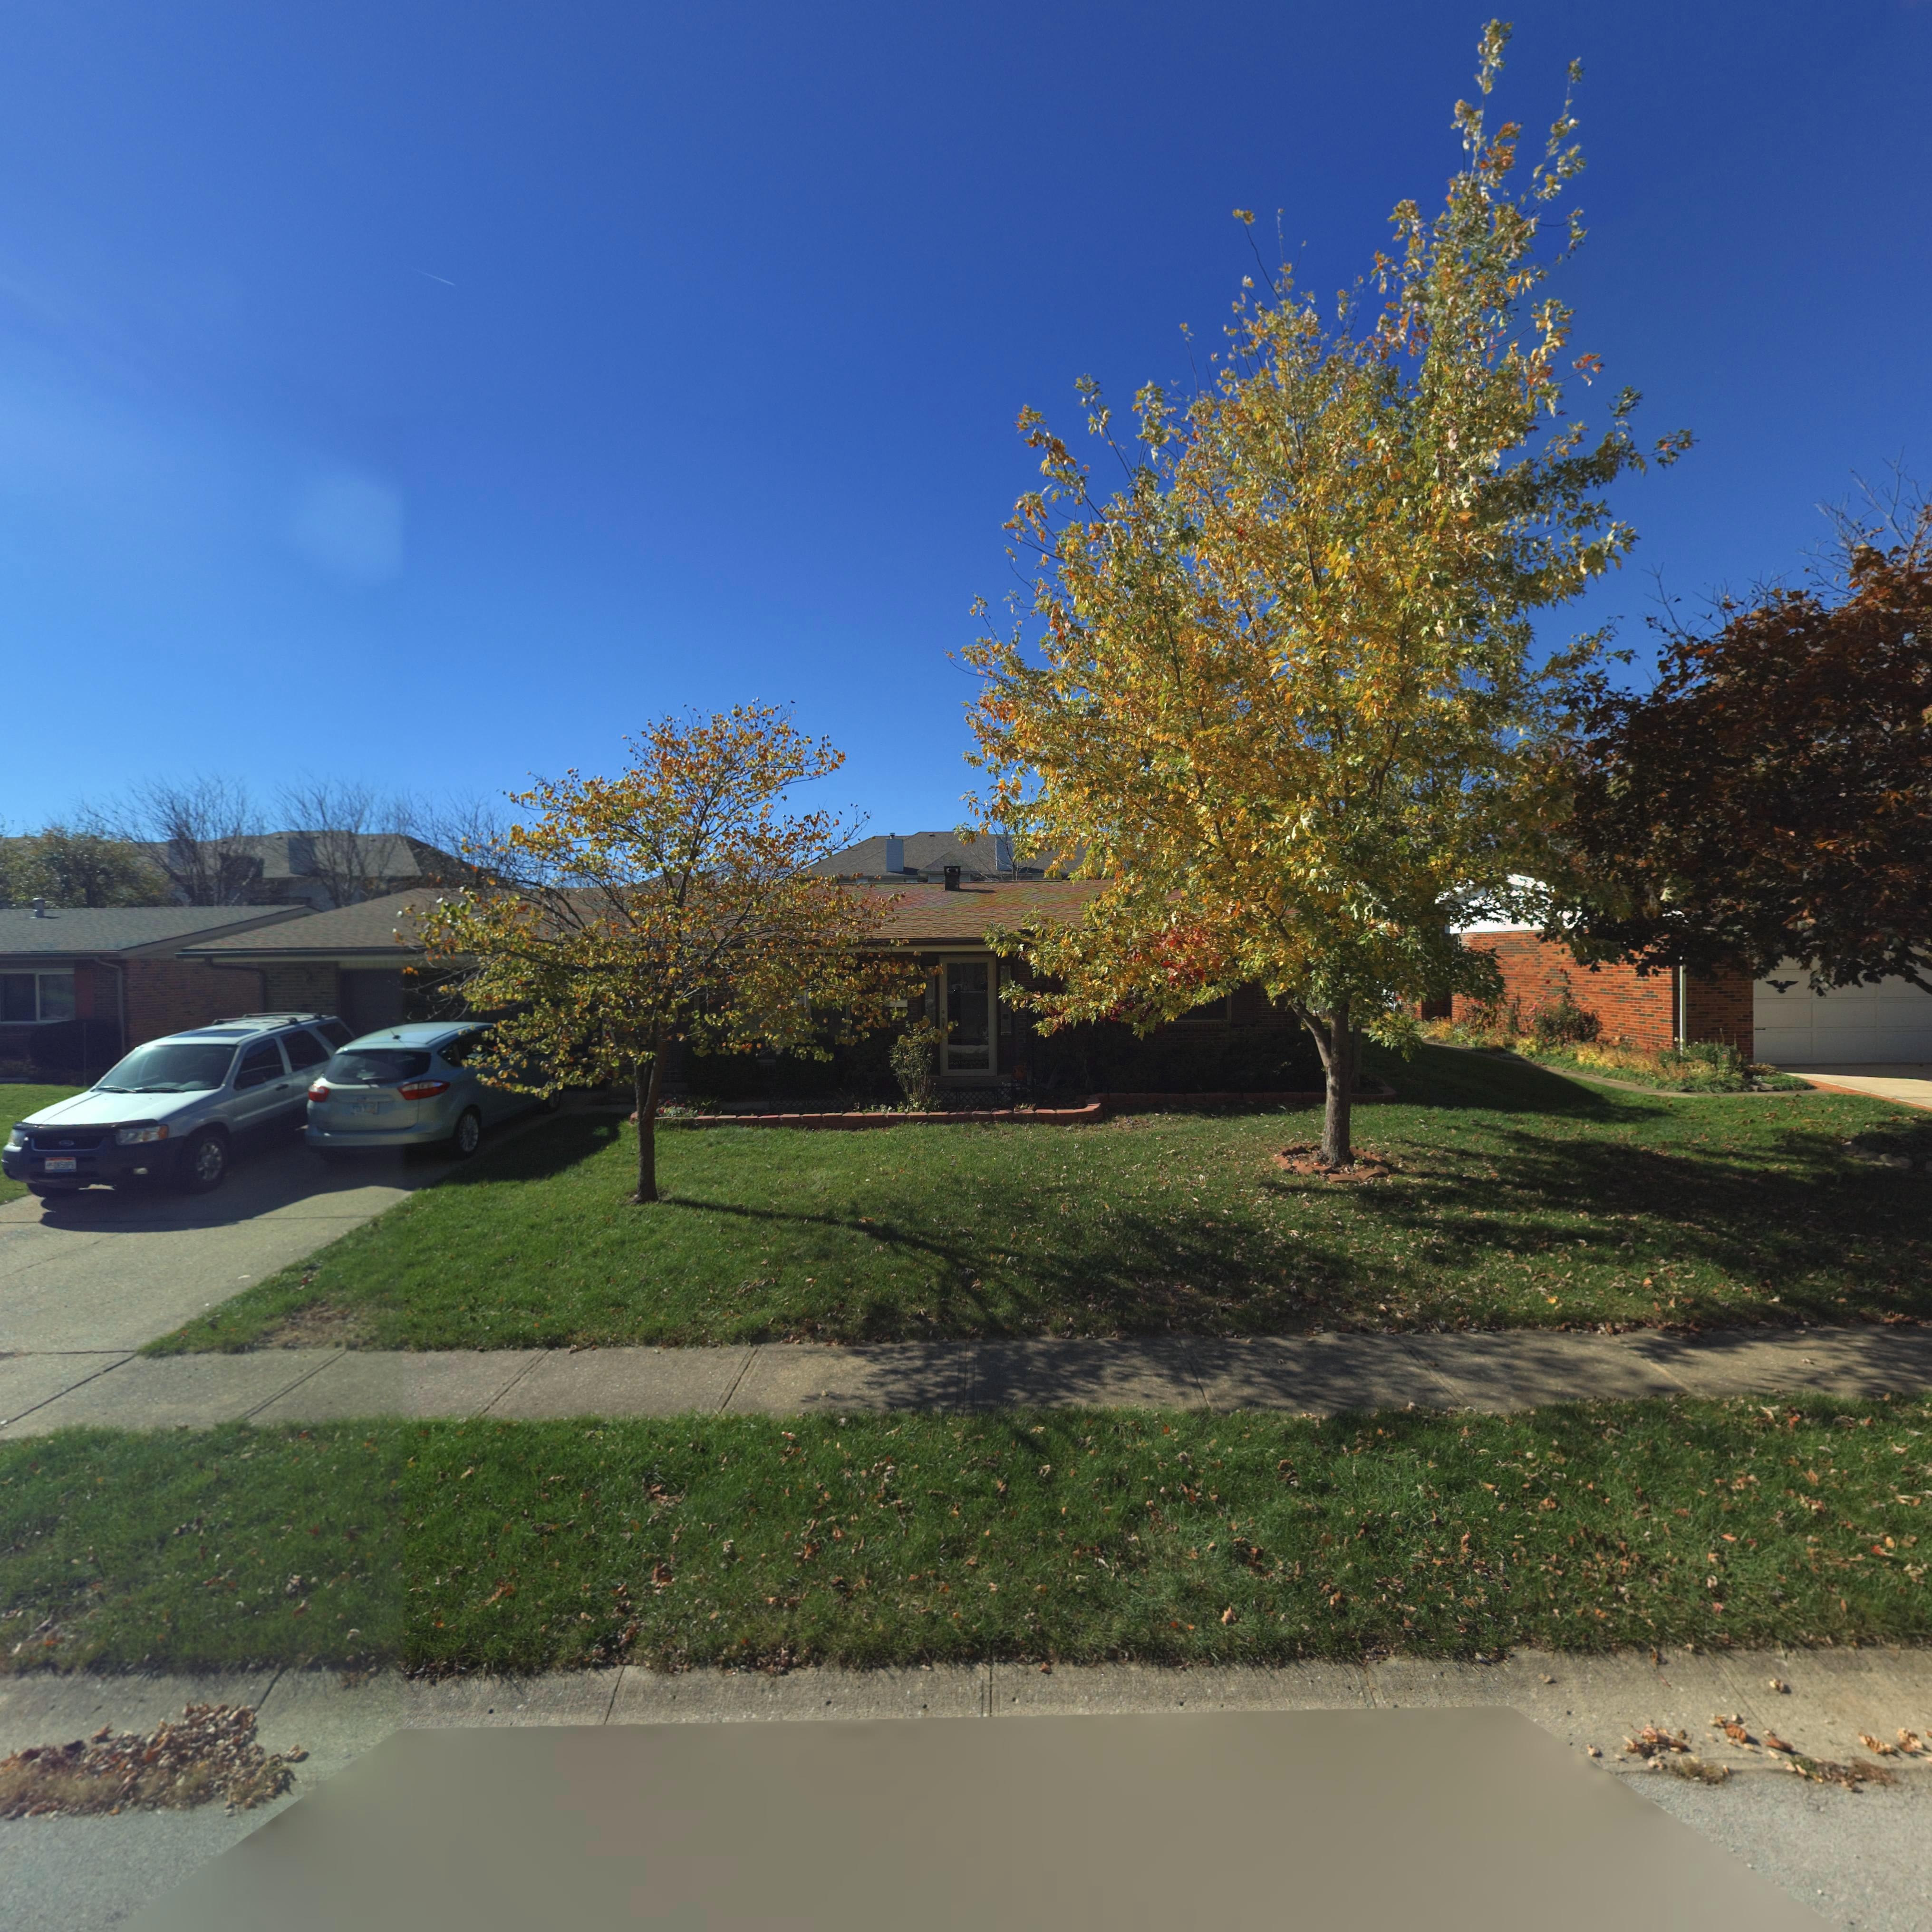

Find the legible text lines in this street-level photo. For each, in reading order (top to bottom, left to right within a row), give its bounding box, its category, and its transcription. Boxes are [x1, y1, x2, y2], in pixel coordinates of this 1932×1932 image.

[886, 983, 907, 998] StreetNumber: 7**